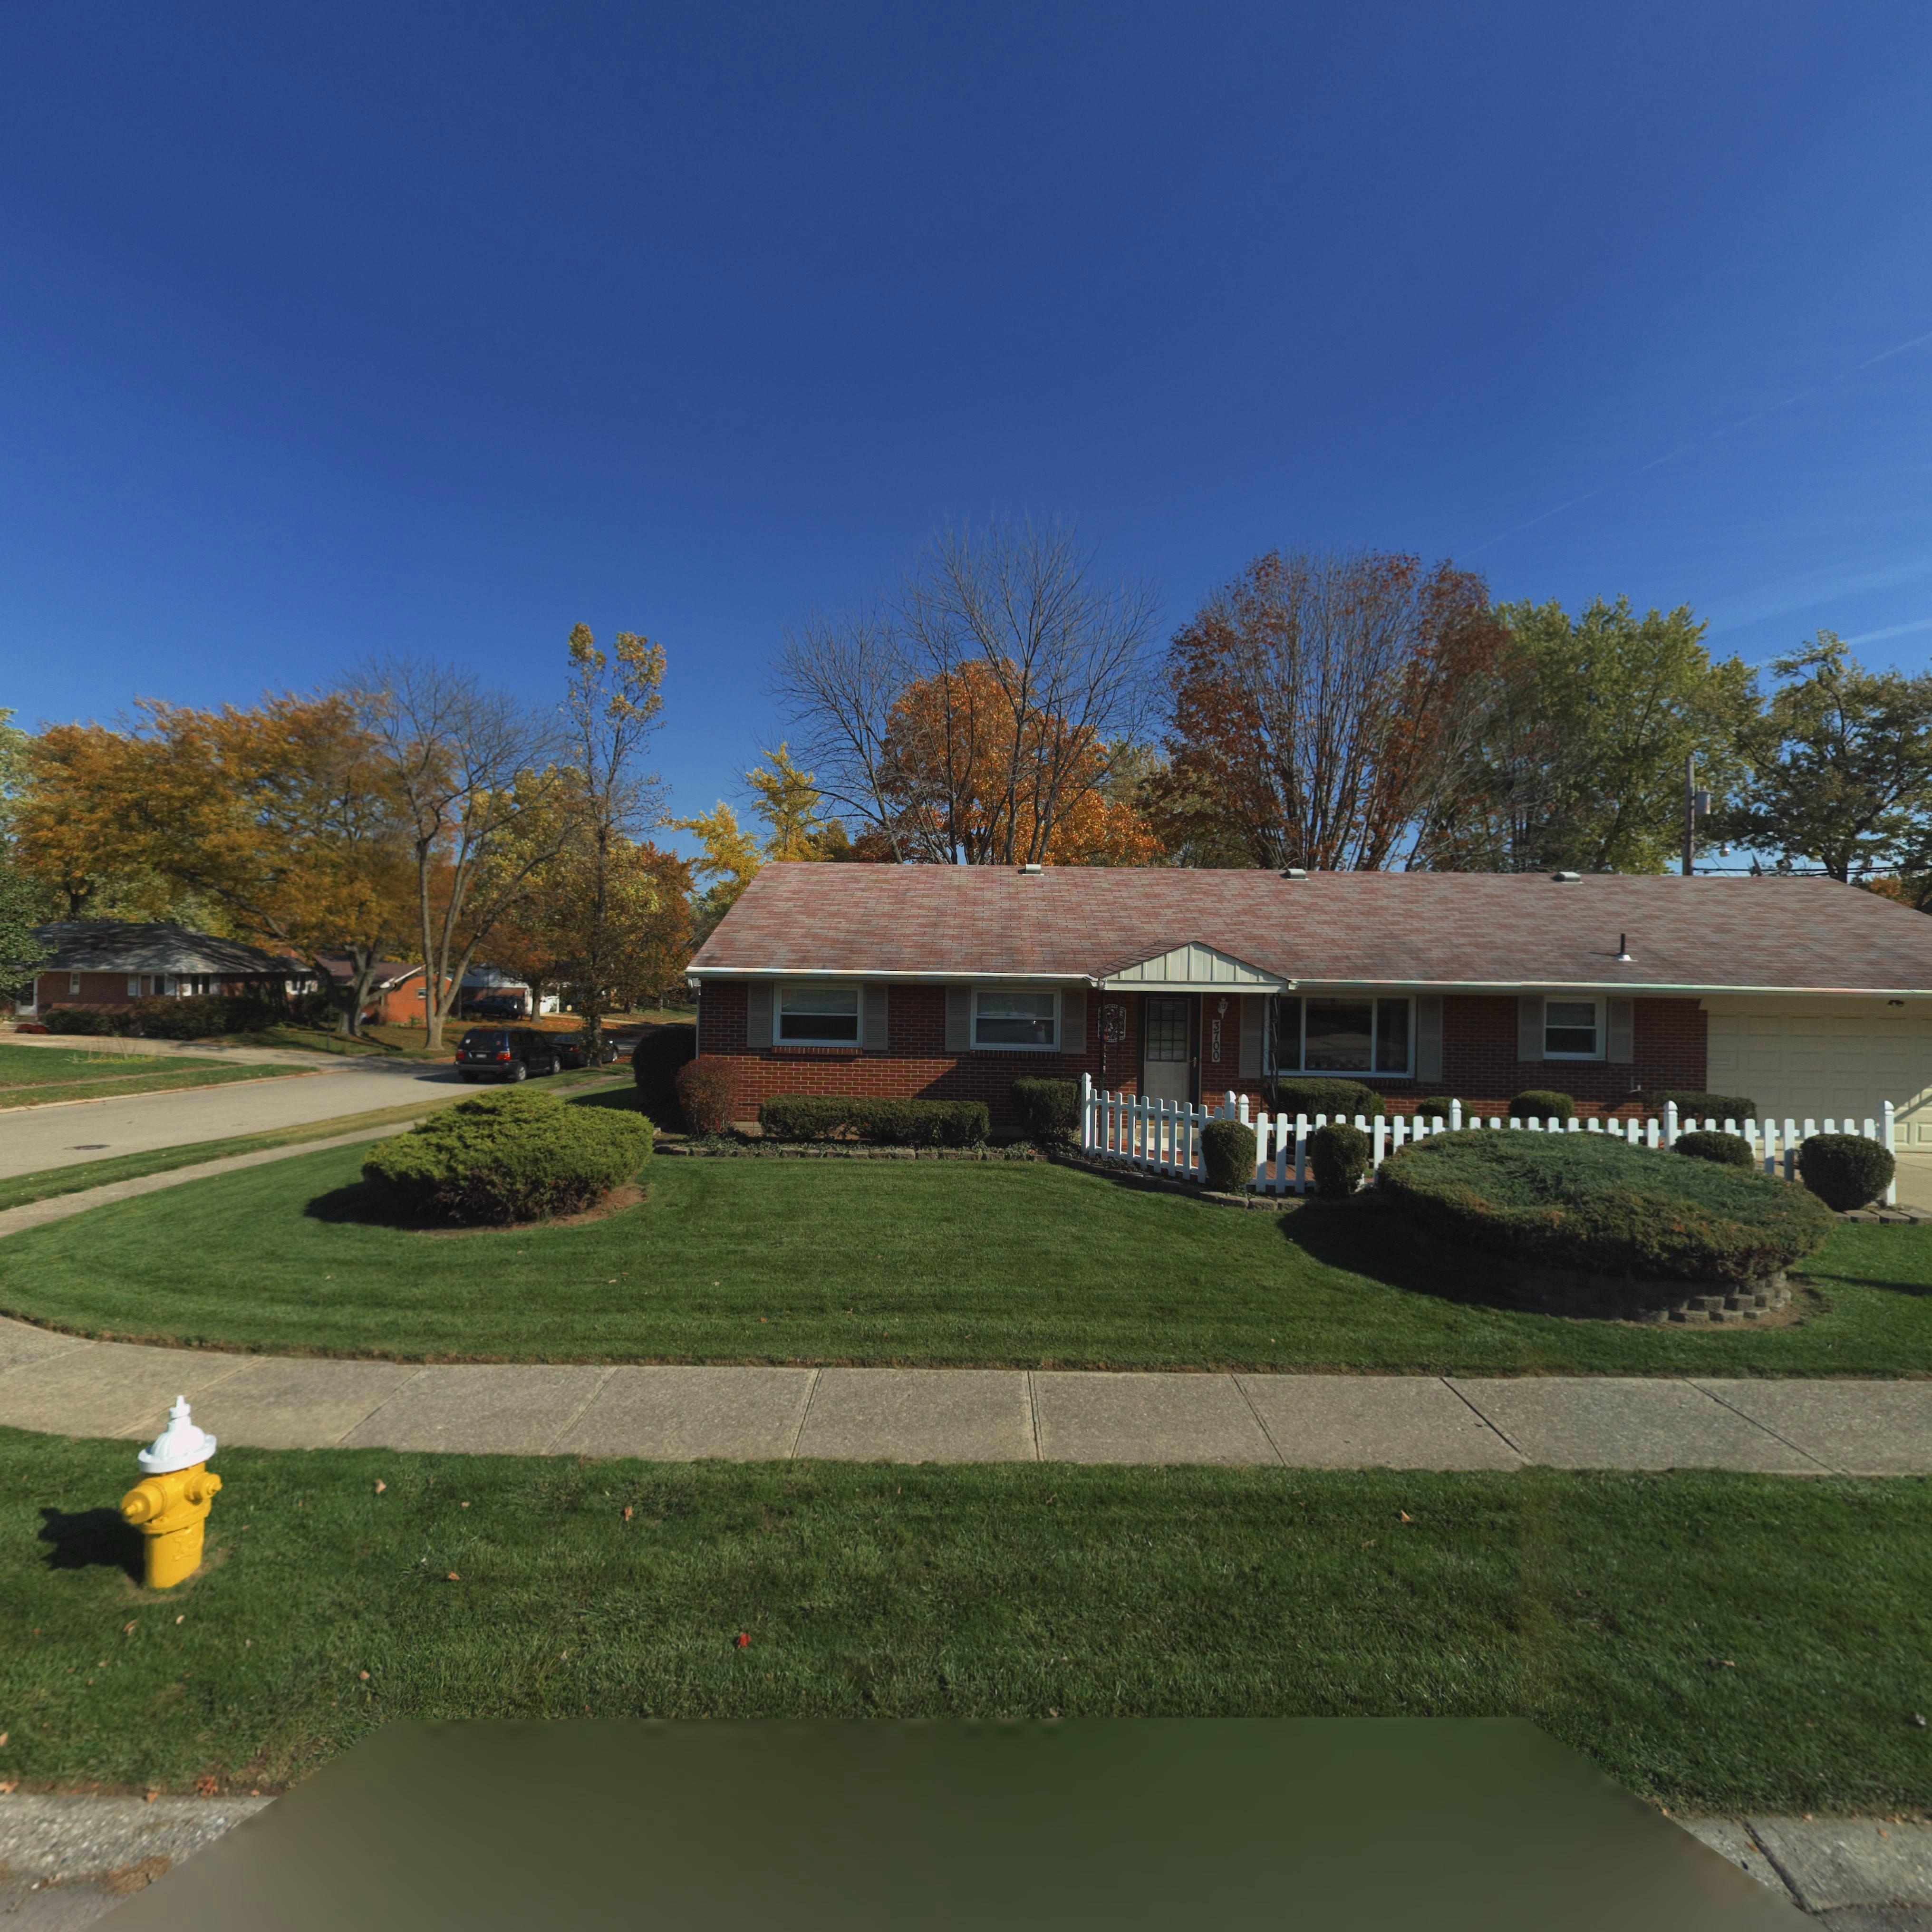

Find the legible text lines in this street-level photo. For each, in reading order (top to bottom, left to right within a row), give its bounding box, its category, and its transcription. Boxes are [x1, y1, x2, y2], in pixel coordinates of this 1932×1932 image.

[1212, 1021, 1220, 1061] StreetNumber: 3700